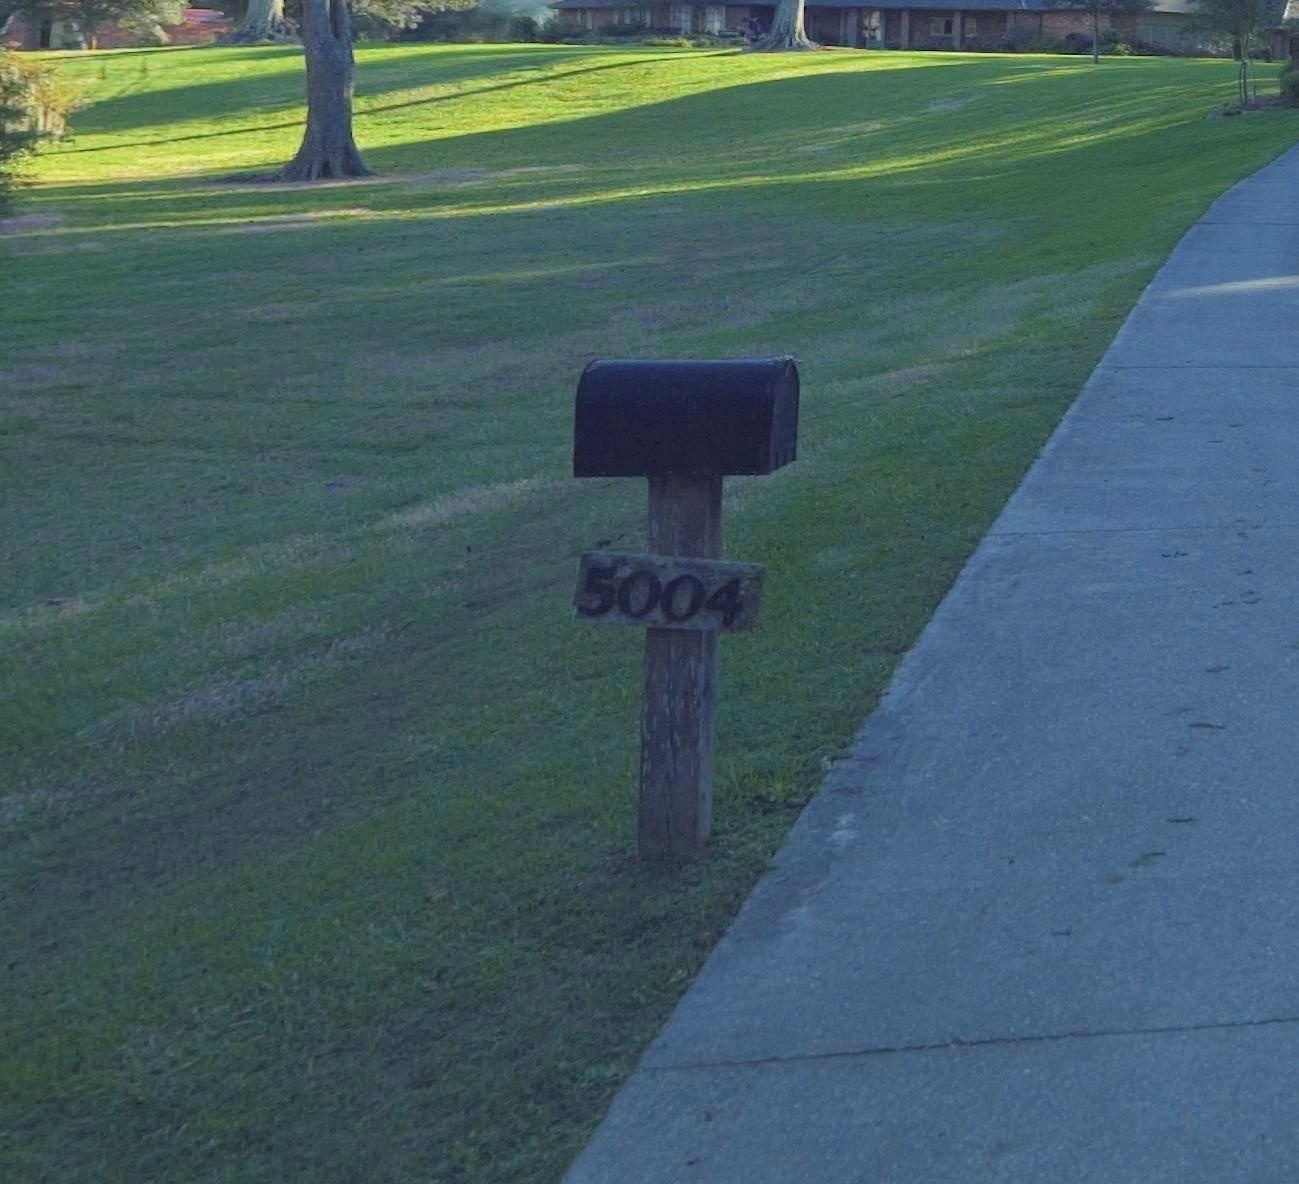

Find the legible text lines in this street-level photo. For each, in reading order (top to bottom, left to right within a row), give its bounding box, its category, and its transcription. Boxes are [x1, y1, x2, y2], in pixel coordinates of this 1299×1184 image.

[569, 563, 746, 632] StreetNumber: 5004